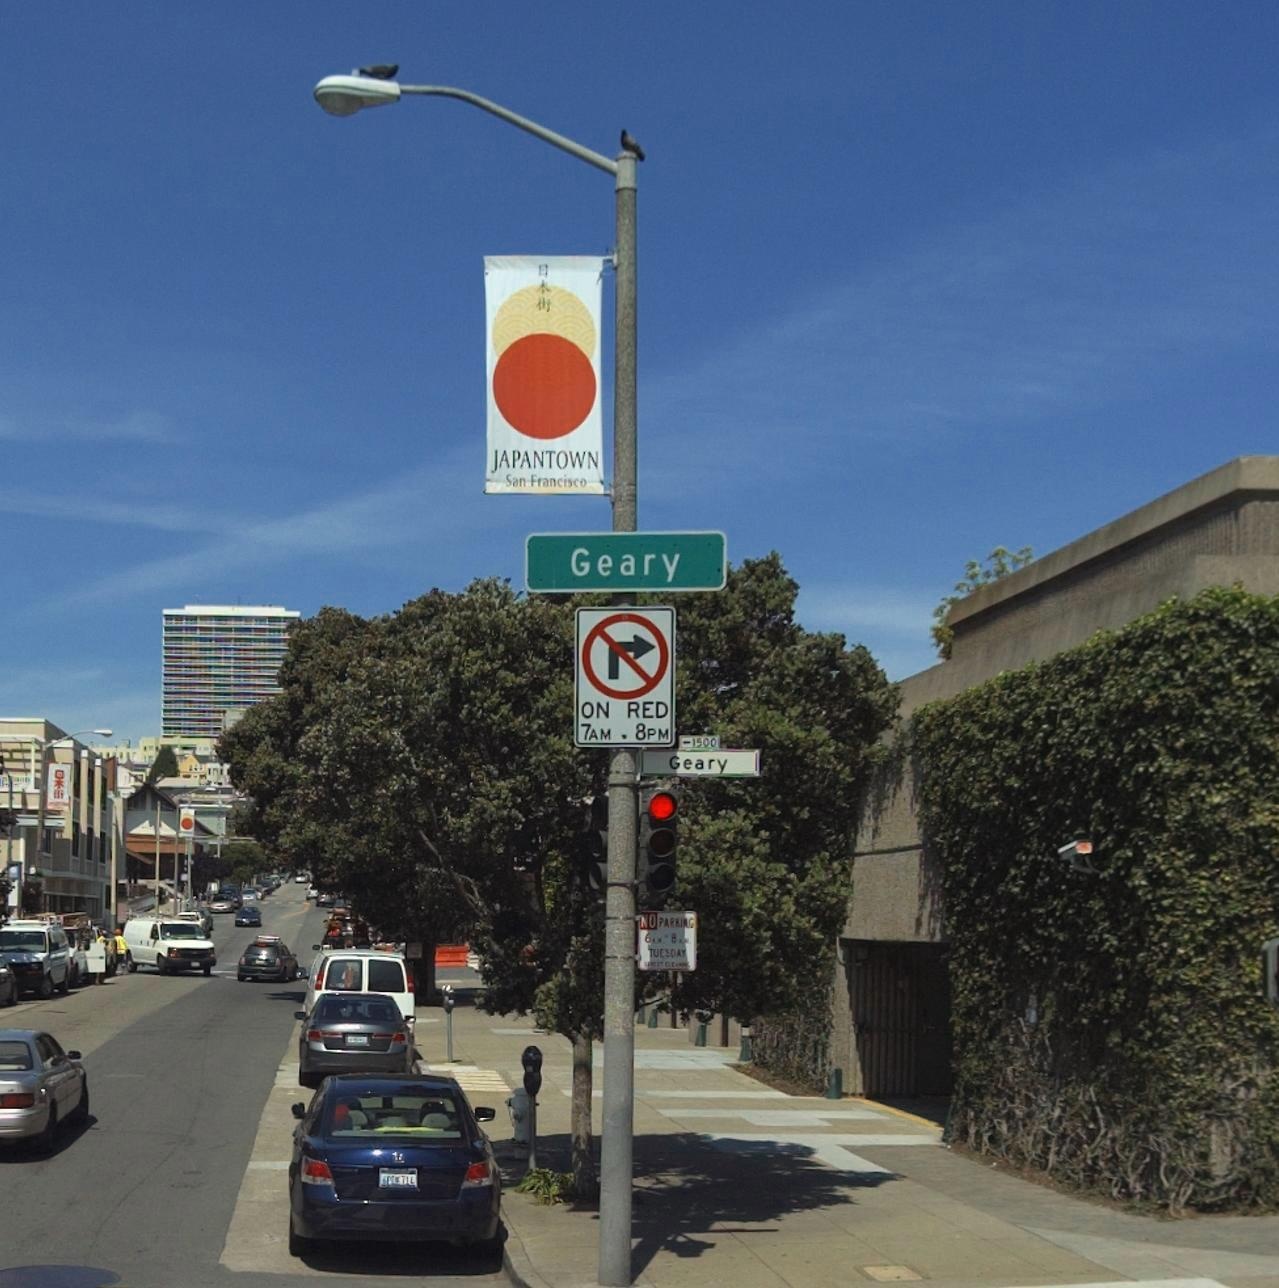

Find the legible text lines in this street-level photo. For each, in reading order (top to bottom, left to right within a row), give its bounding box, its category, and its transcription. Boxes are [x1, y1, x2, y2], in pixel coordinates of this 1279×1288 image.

[490, 445, 599, 474] None: JAPANTOWN
[505, 473, 587, 489] None: San Francisco
[570, 545, 682, 583] StreetName: Geary
[579, 697, 668, 720] None: ON RED
[577, 720, 668, 741] None: 7AM * 8PM
[678, 736, 718, 751] StreetNumberRange: <-1500
[669, 754, 728, 775] StreetName: Geary
[640, 913, 694, 930] None: NO PARKING
[644, 930, 652, 944] None: 6
[668, 930, 679, 945] None: 8
[647, 944, 687, 958] None: TUESDAY